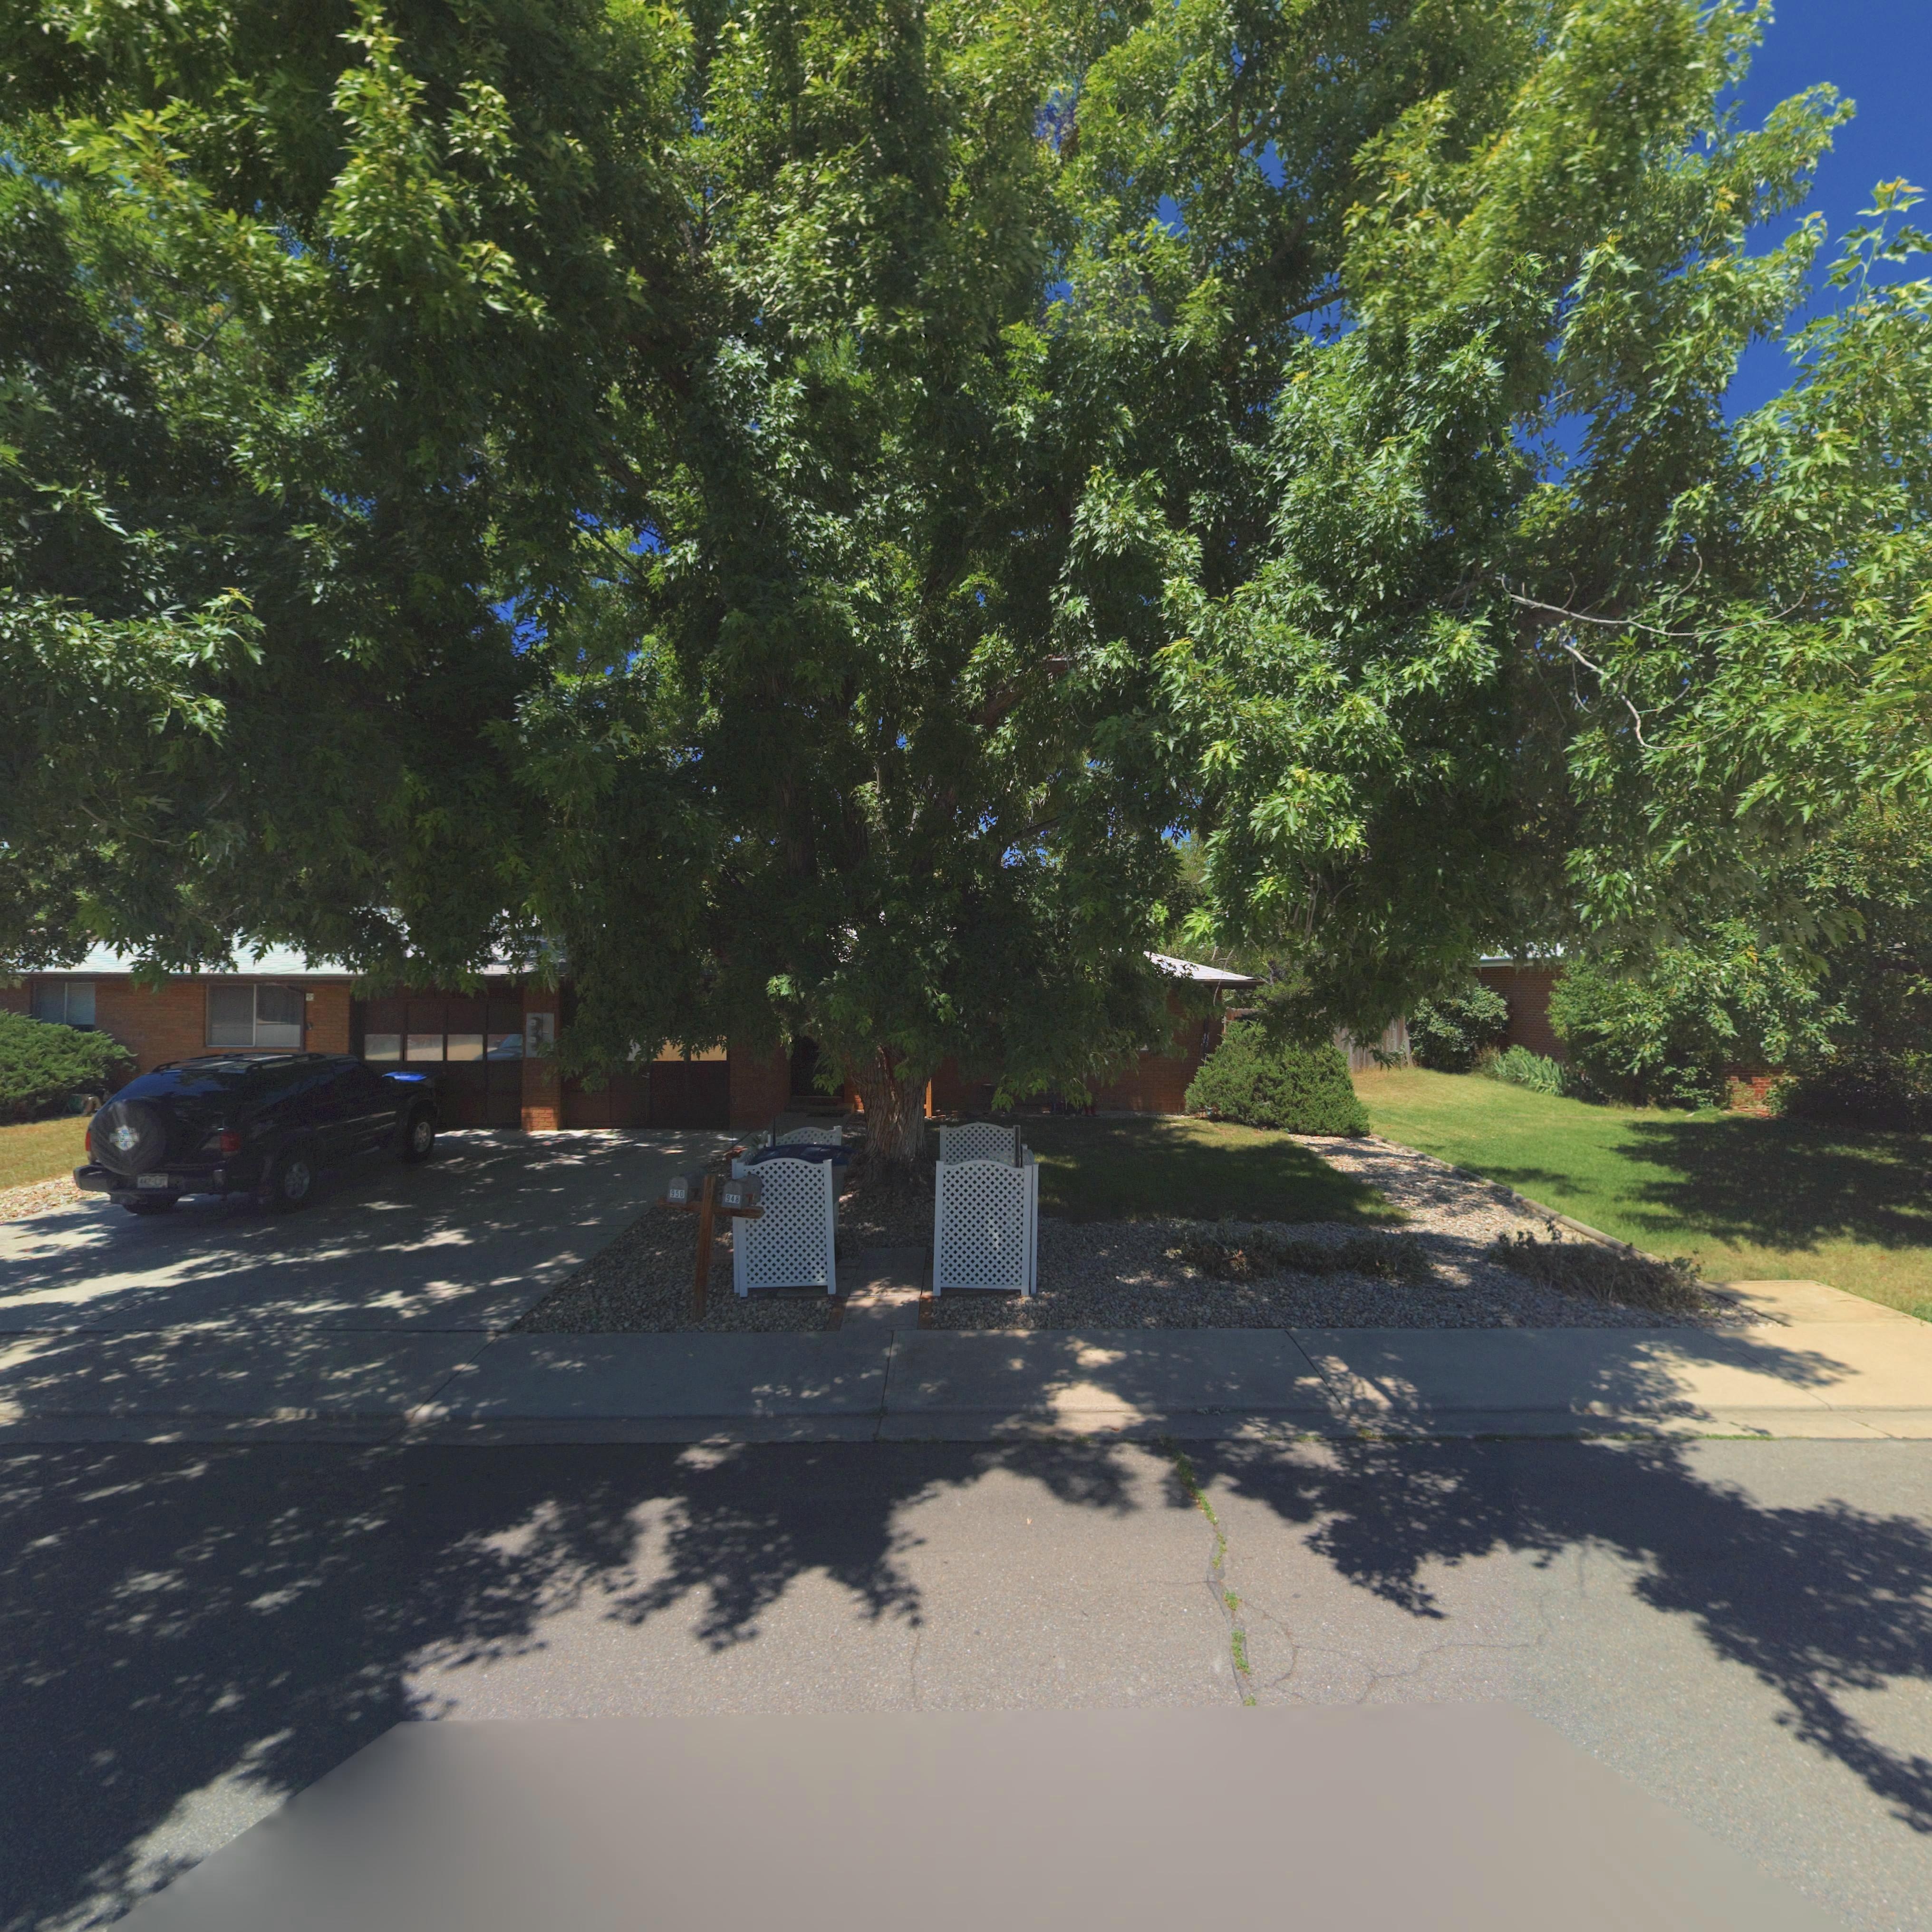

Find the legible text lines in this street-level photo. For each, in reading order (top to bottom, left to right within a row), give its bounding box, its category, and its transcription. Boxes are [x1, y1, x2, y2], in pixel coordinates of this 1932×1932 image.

[671, 1189, 684, 1198] StreetNumber: 950
[725, 1194, 739, 1203] StreetNumber: 948